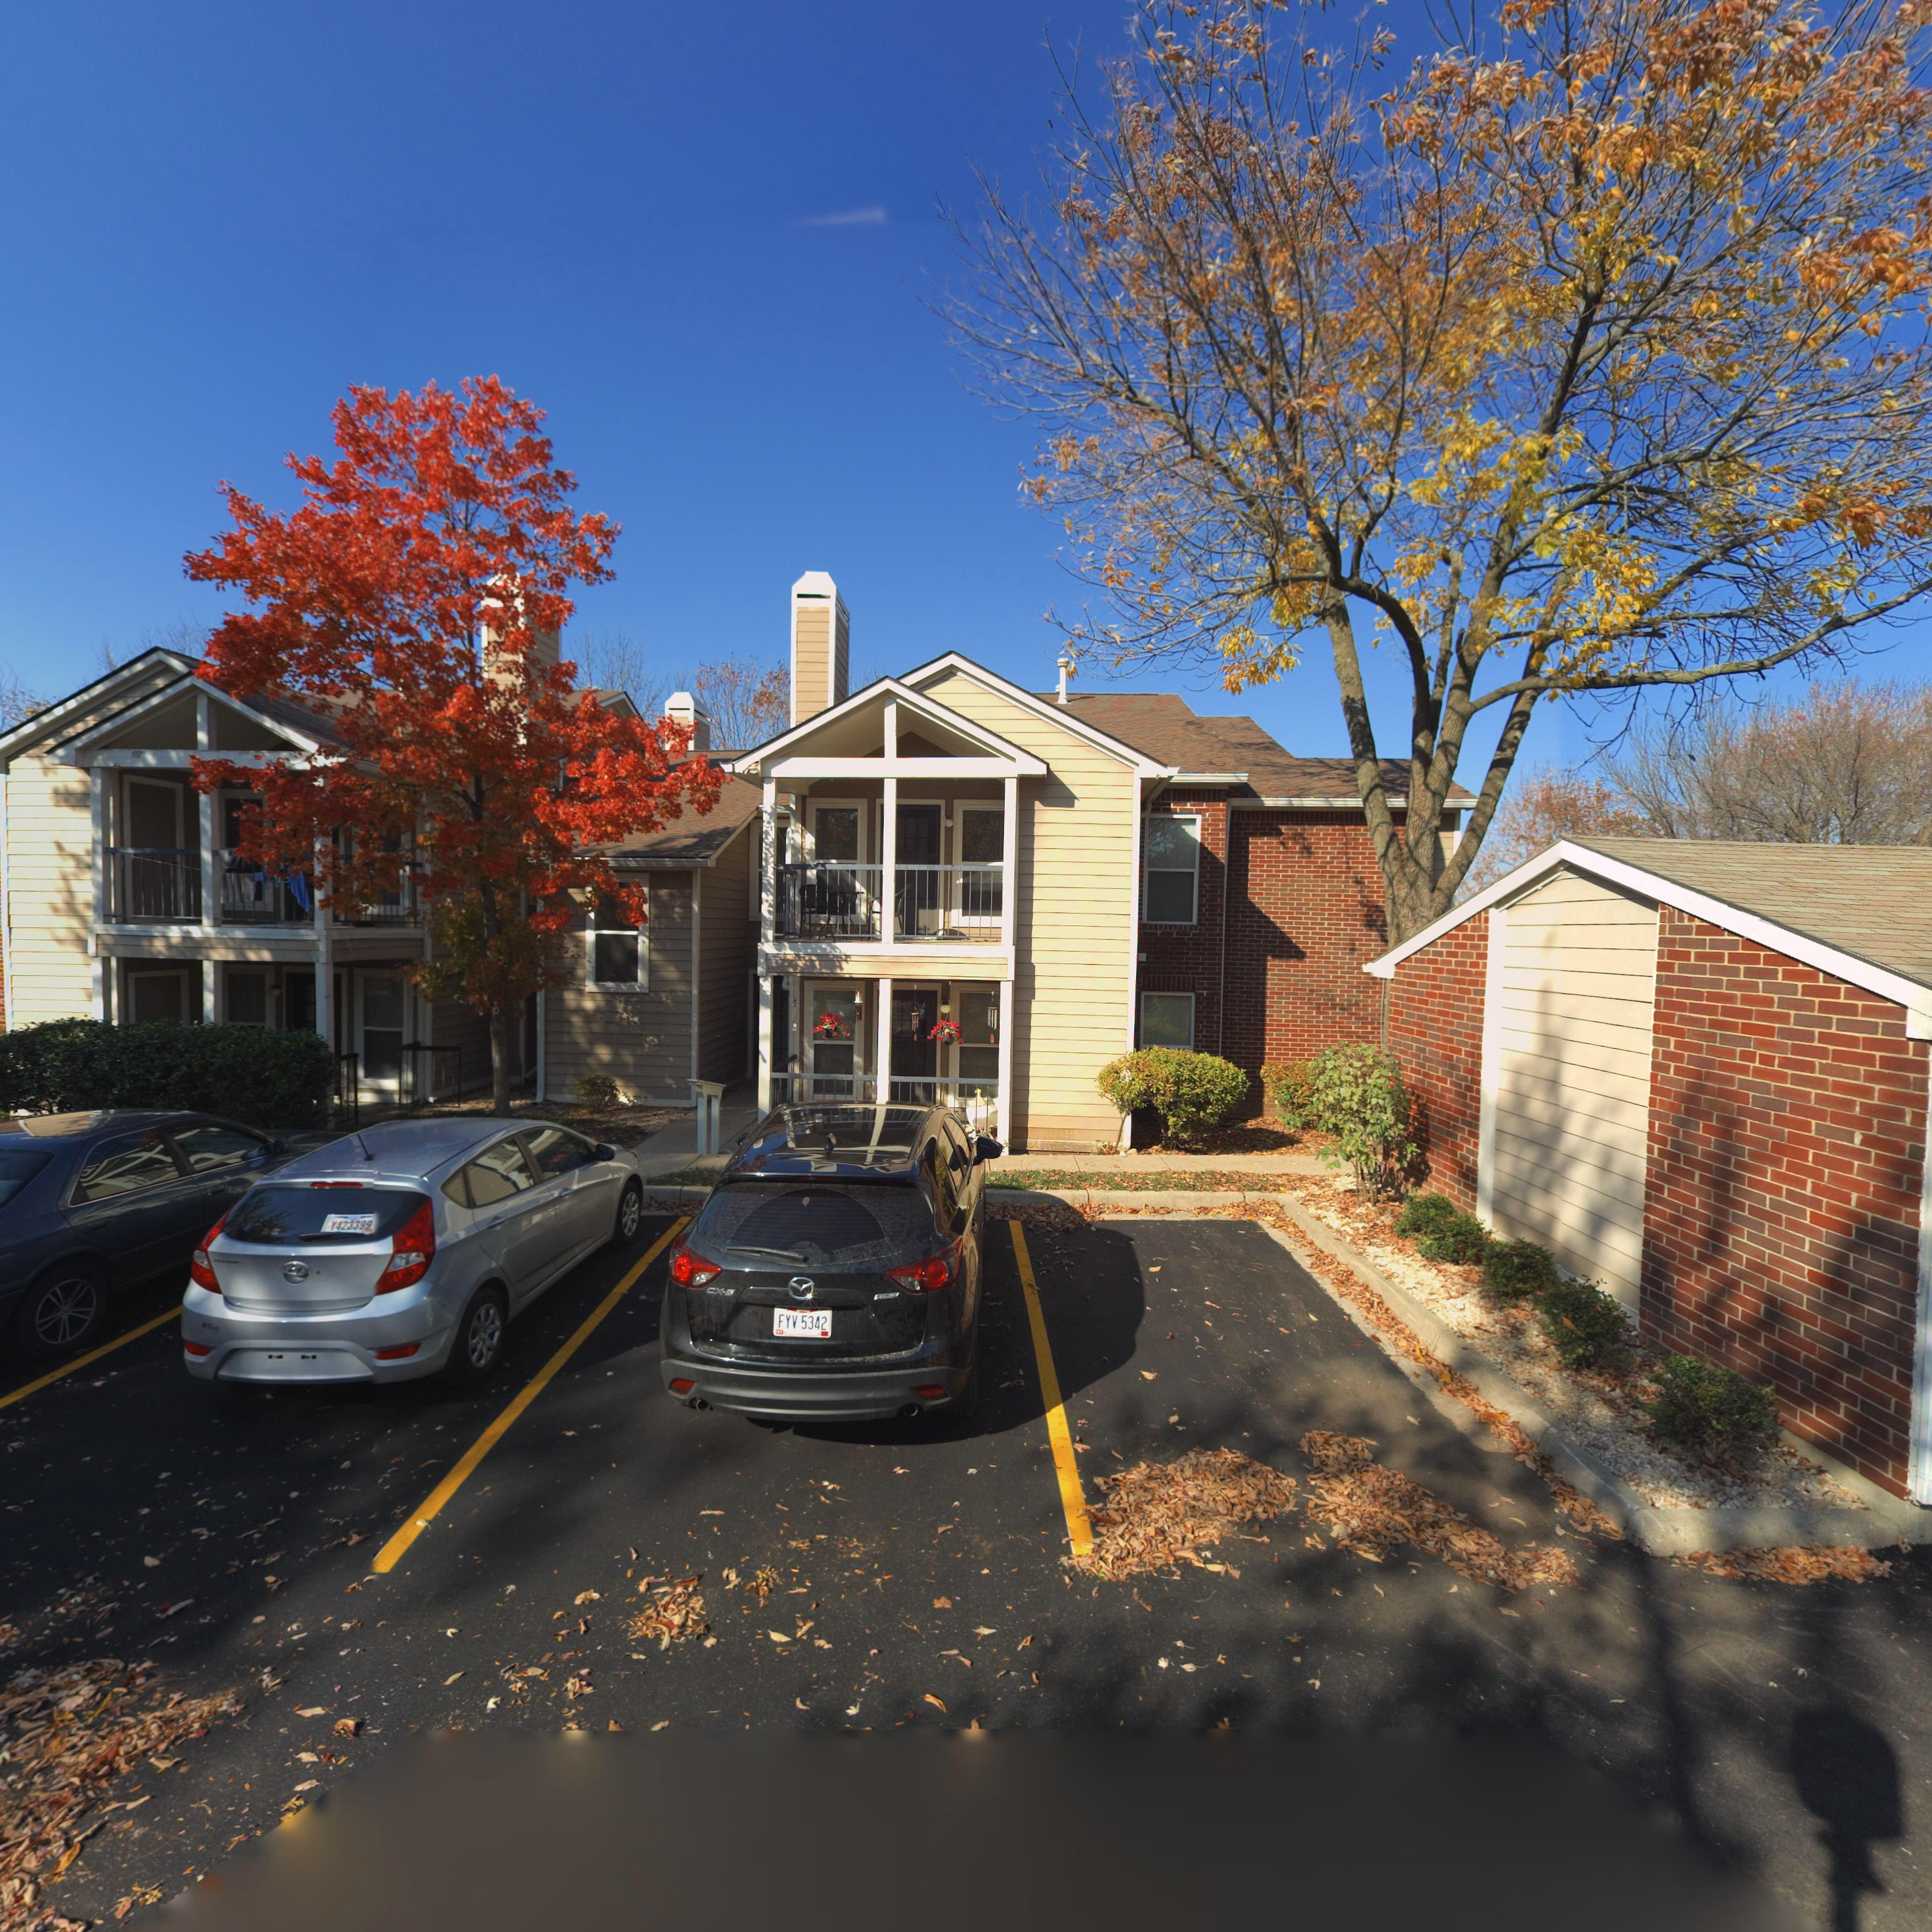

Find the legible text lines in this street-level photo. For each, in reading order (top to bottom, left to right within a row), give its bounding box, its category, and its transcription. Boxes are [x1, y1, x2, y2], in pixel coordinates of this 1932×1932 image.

[329, 1218, 374, 1231] None: Y423399
[705, 1286, 736, 1297] None: CX-5
[777, 1314, 828, 1331] None: FYV 5342